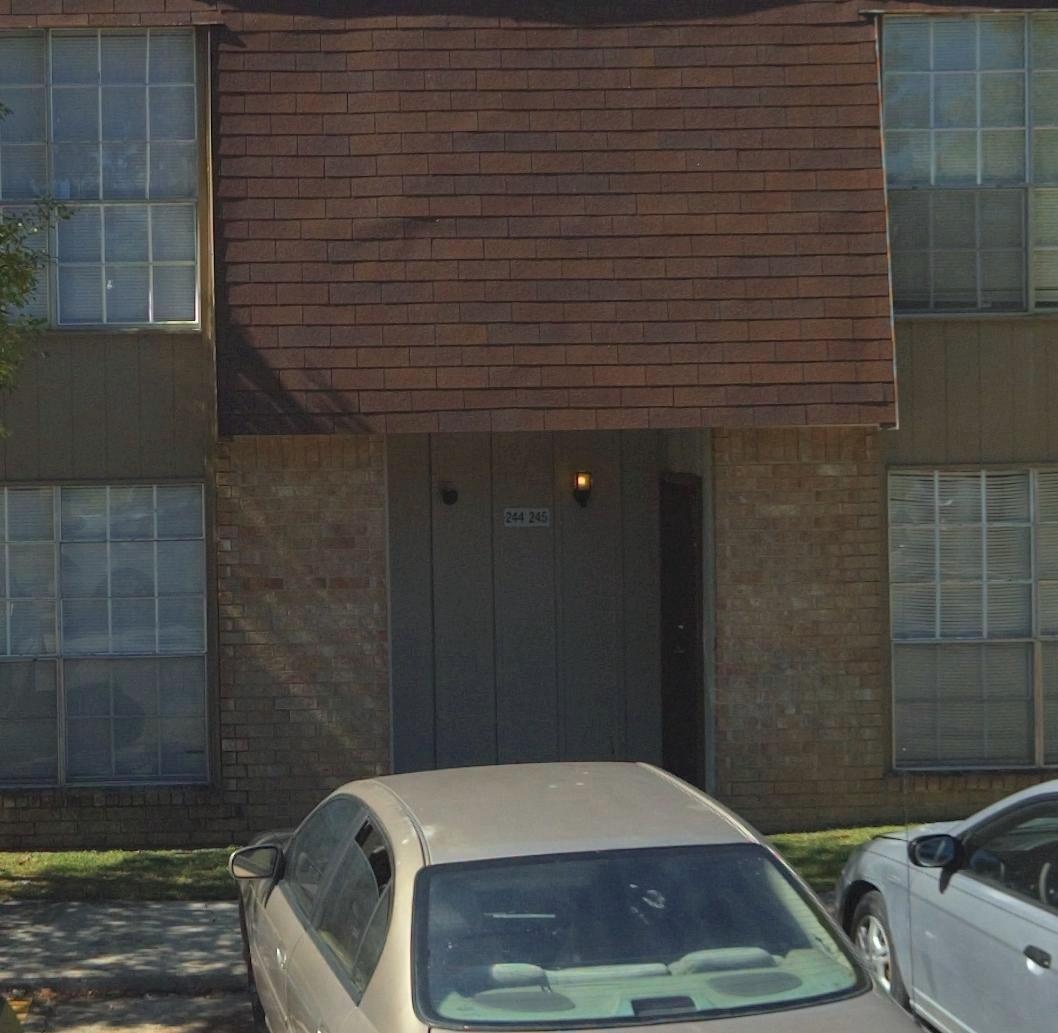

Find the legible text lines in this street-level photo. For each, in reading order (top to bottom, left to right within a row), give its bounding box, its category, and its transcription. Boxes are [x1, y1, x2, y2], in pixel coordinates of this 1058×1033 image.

[504, 509, 526, 525] StreetNumber: 244
[527, 509, 550, 525] StreetNumber: 245